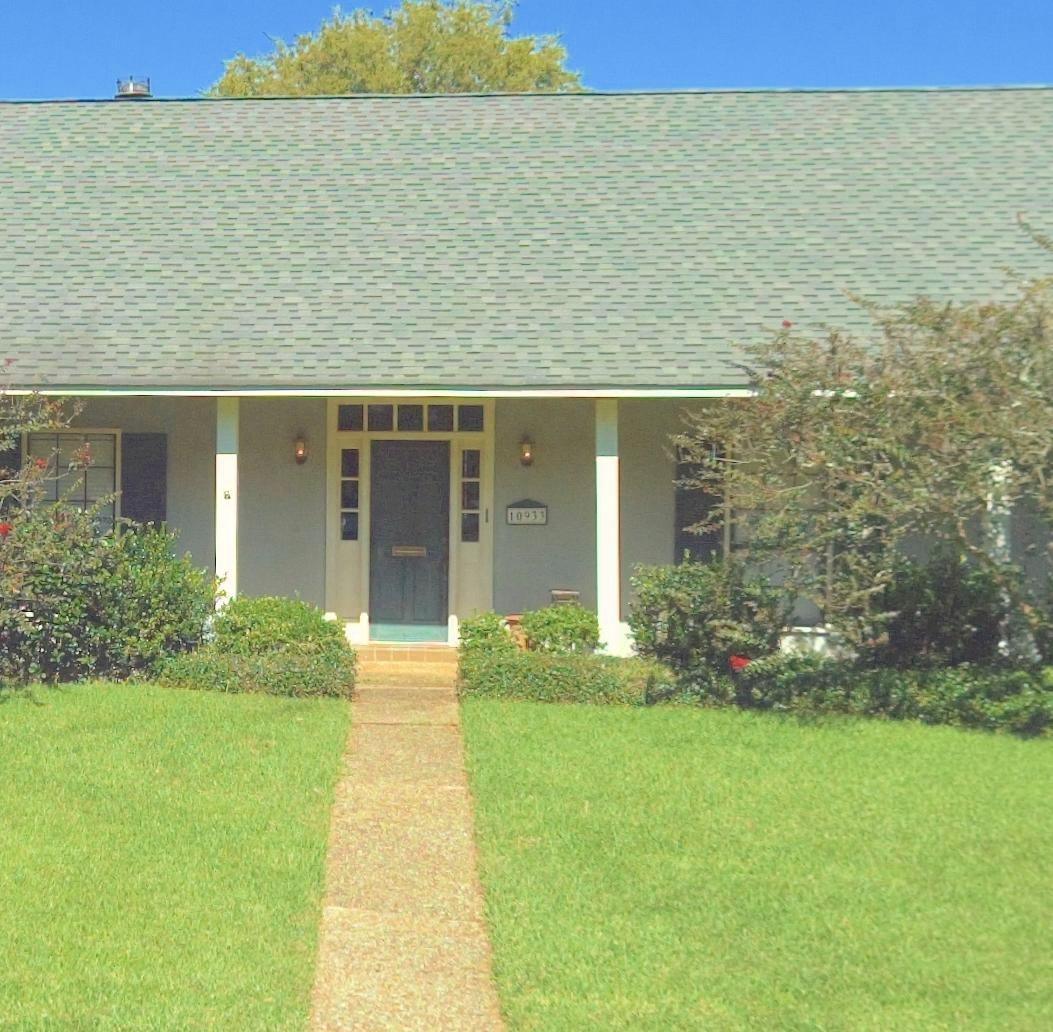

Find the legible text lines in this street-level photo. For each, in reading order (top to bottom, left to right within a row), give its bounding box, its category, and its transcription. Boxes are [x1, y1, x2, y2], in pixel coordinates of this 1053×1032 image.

[508, 509, 546, 524] StreetNumber: 10933